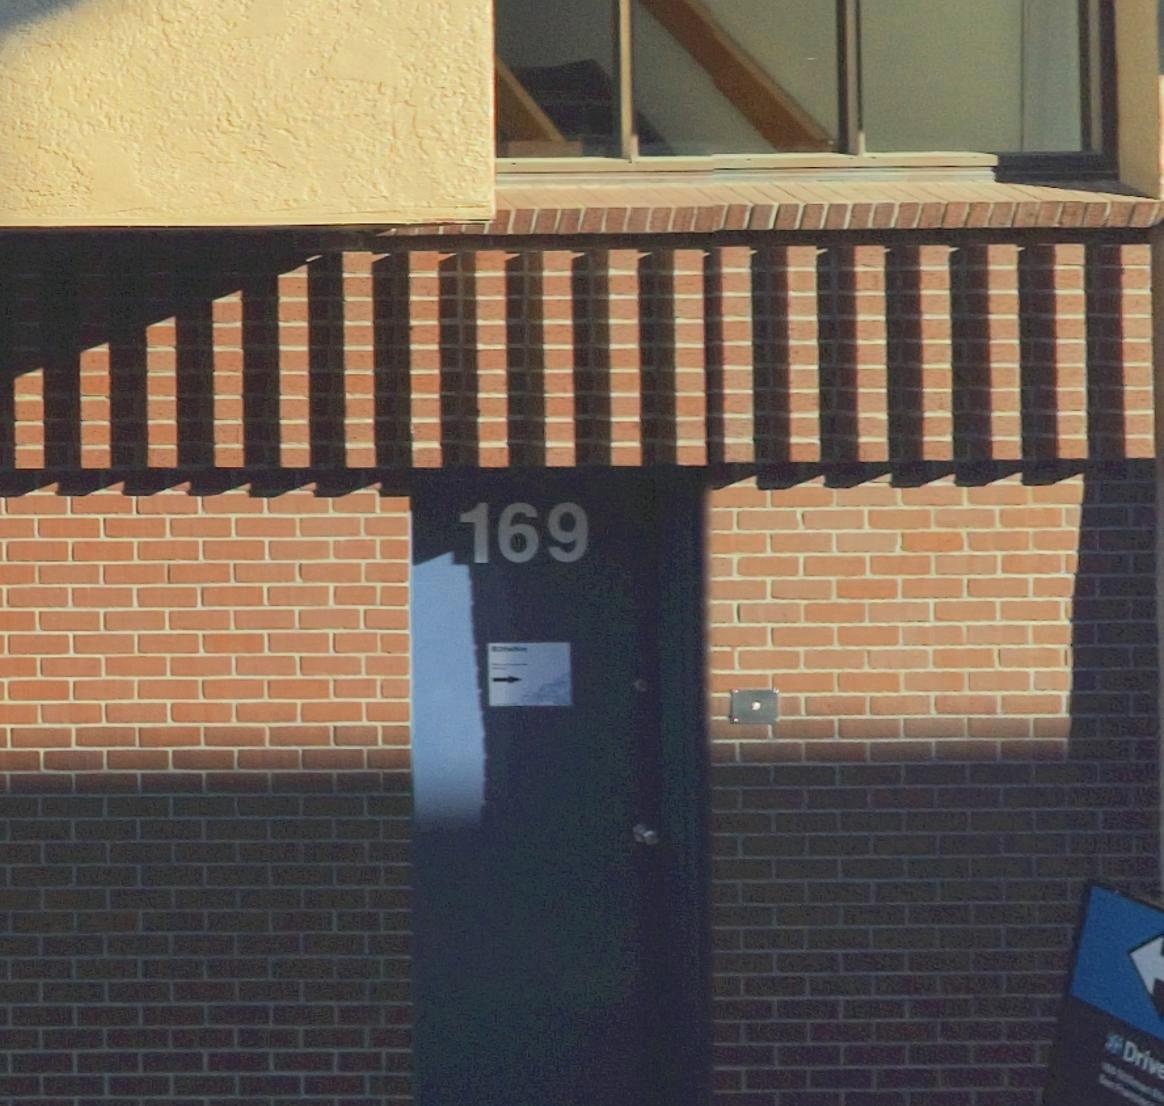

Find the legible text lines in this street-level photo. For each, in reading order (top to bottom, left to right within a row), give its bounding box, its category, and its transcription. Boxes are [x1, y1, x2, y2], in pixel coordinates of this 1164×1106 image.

[457, 498, 595, 565] StreetNumber: 169
[1120, 1035, 1164, 1087] None: Driv